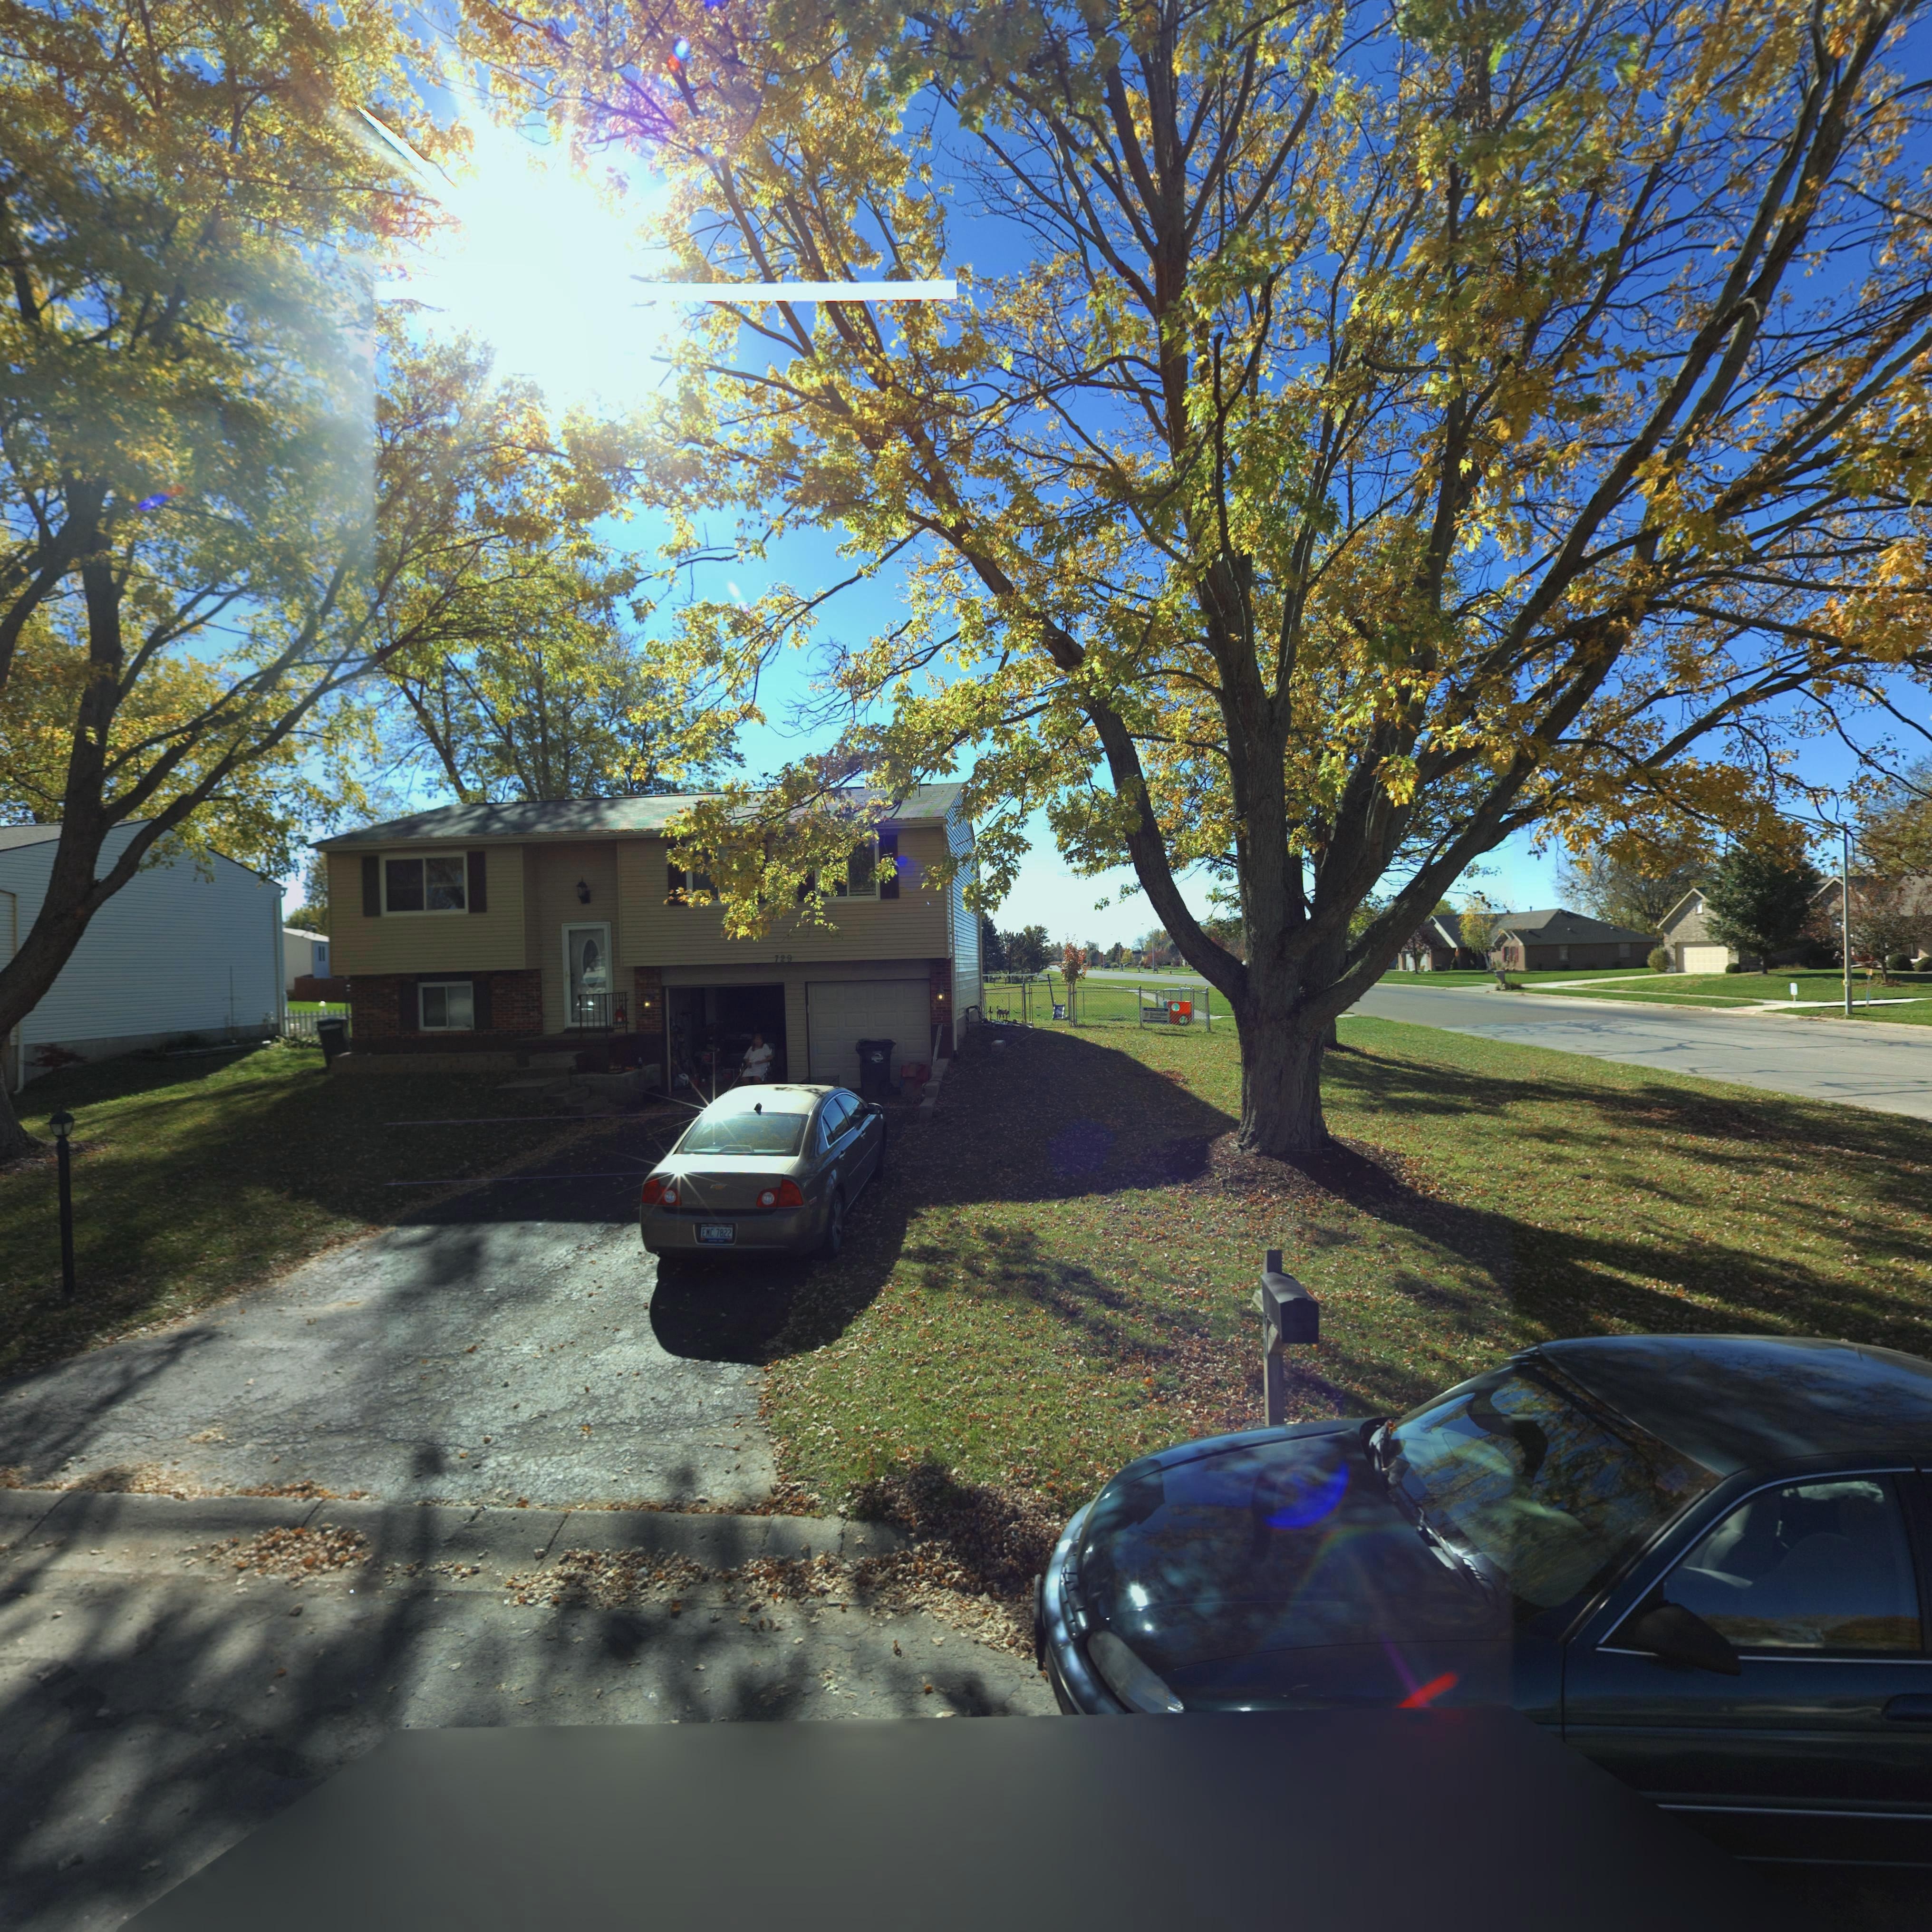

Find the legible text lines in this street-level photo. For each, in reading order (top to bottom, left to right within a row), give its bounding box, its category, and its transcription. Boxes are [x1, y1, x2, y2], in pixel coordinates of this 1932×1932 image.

[774, 954, 792, 963] StreetNumber: 729
[701, 1227, 732, 1239] None: EMC 7822